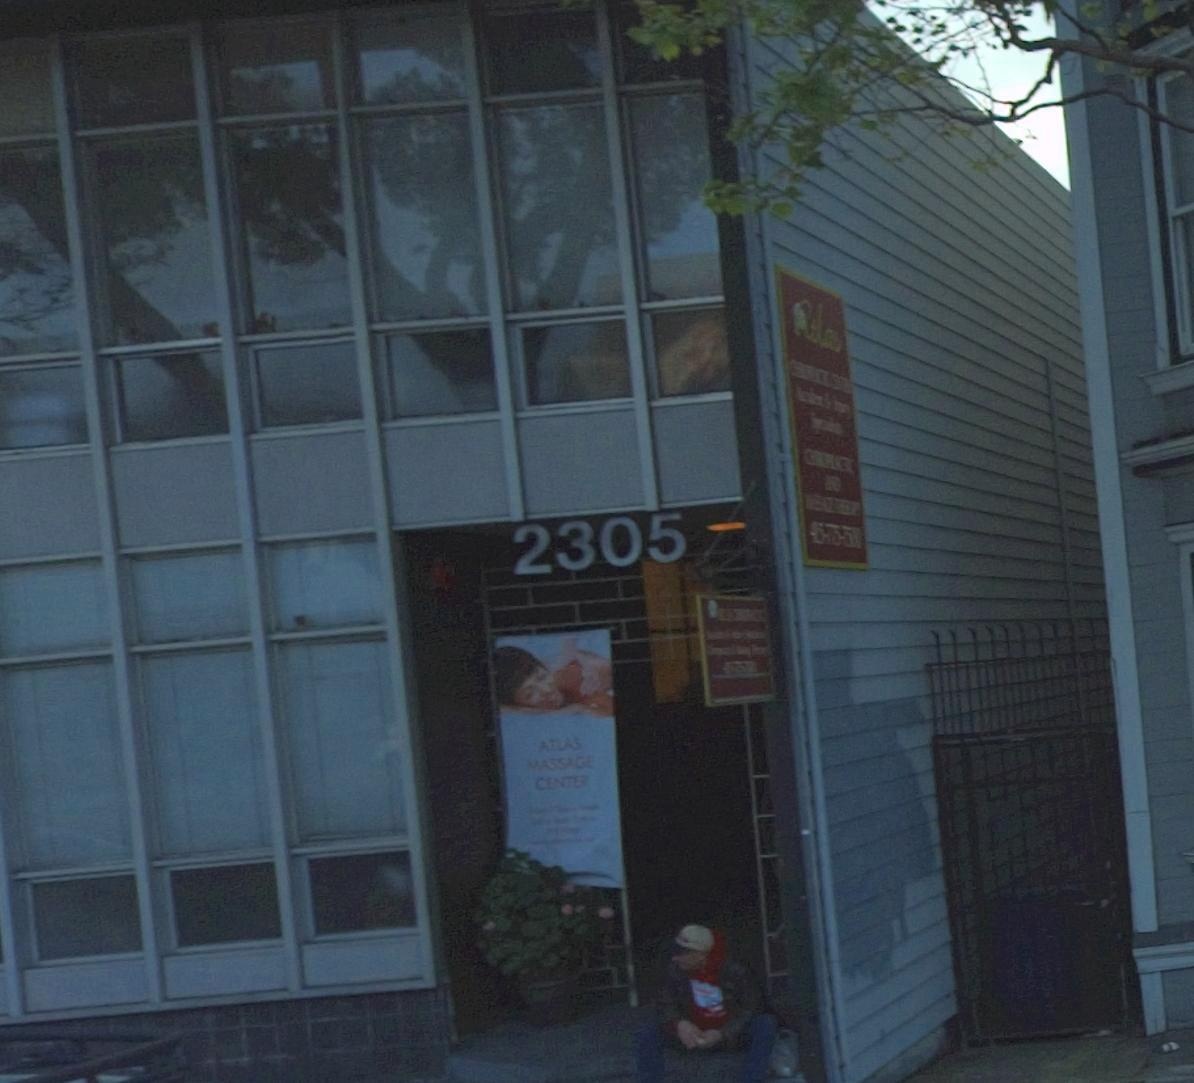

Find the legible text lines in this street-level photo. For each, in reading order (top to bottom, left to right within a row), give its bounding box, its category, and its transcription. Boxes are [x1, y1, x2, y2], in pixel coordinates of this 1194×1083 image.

[506, 506, 691, 583] StreetNumber: 2305
[535, 733, 587, 756] None: ATLAS
[523, 751, 597, 776] None: MASSAGE
[531, 769, 594, 794] None: CENTER